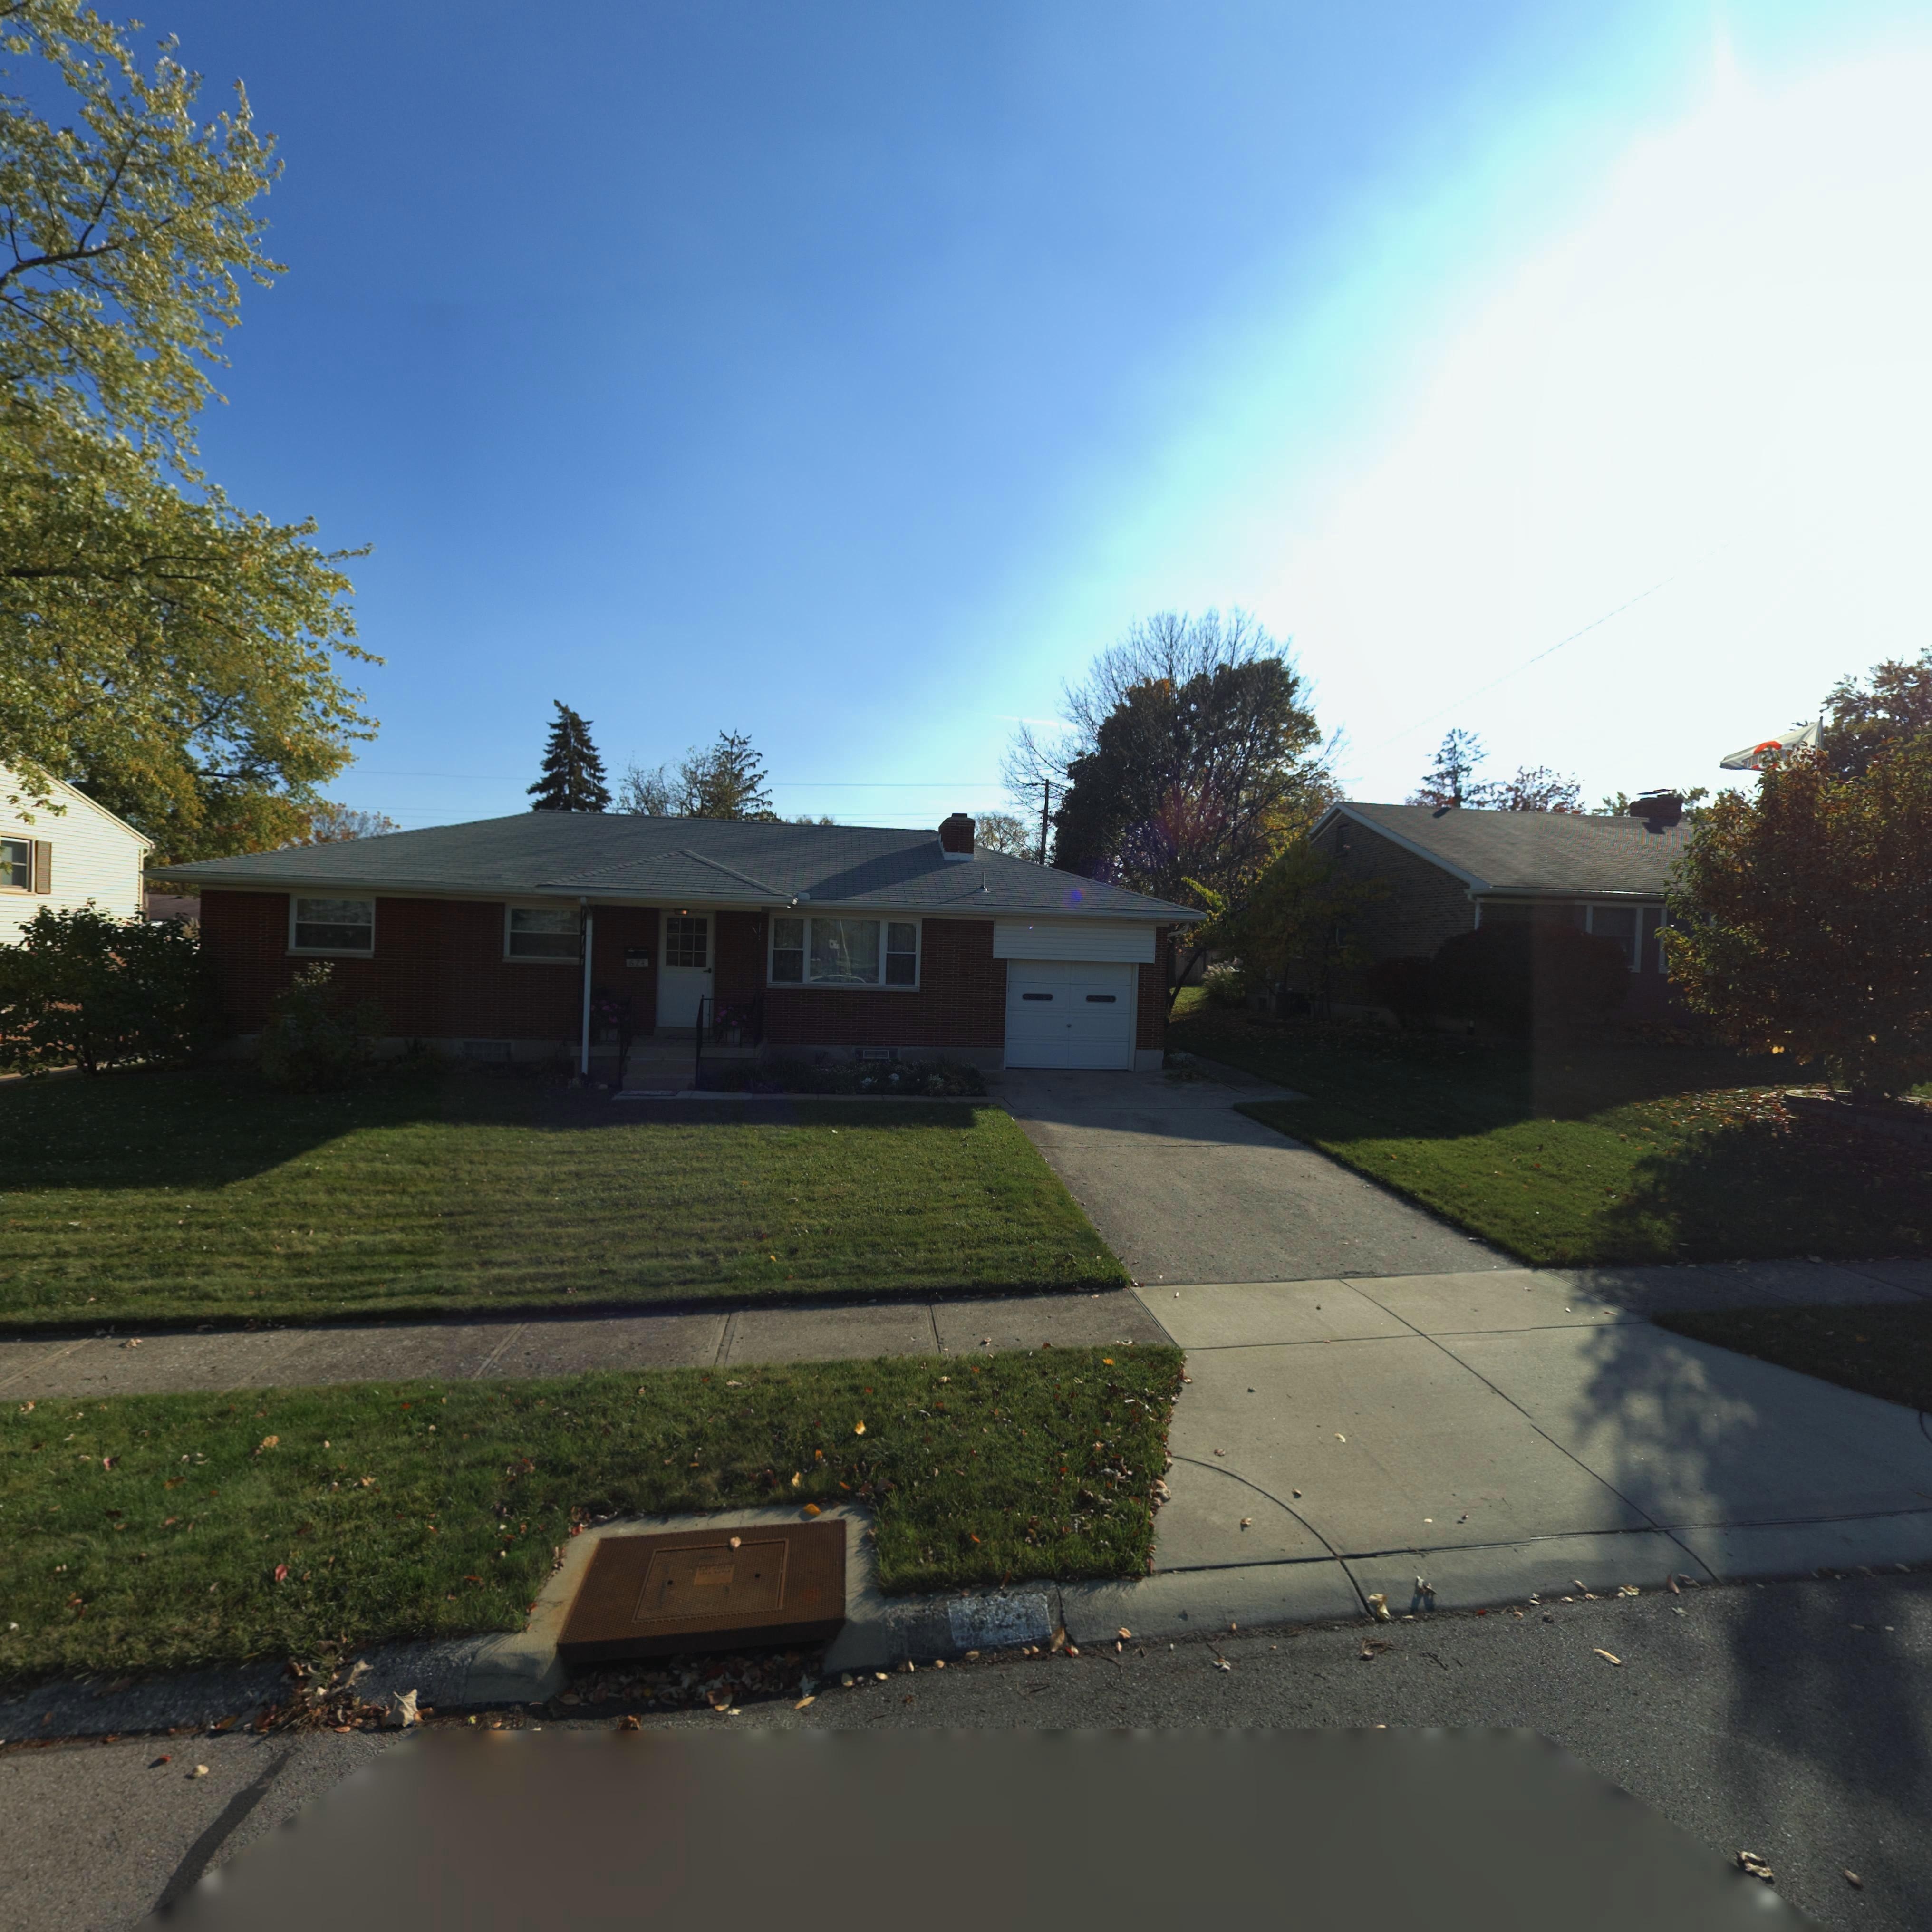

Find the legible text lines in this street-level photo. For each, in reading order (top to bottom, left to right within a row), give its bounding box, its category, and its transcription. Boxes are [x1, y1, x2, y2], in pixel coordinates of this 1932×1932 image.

[628, 959, 645, 967] StreetNumber: 624
[966, 1599, 1033, 1635] StreetNumber: 624